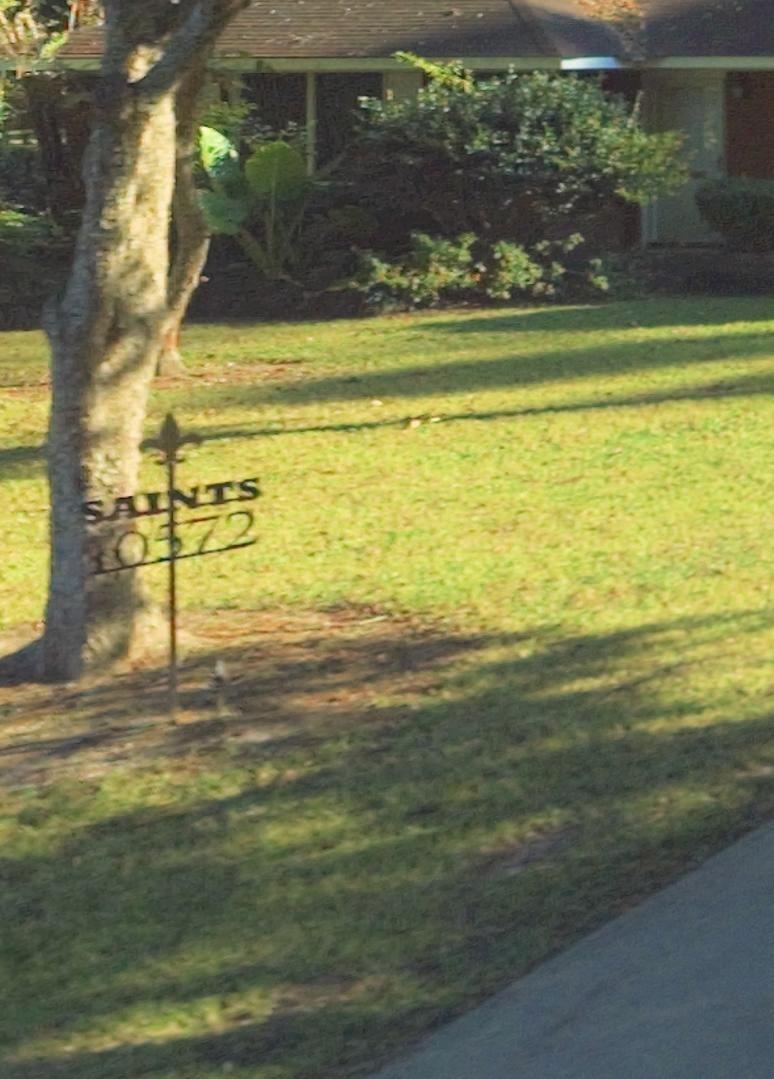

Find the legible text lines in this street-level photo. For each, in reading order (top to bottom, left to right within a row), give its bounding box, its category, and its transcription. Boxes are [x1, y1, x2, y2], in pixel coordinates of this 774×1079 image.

[78, 476, 266, 528] None: SAINTS
[87, 506, 267, 579] StreetNumber: *0572